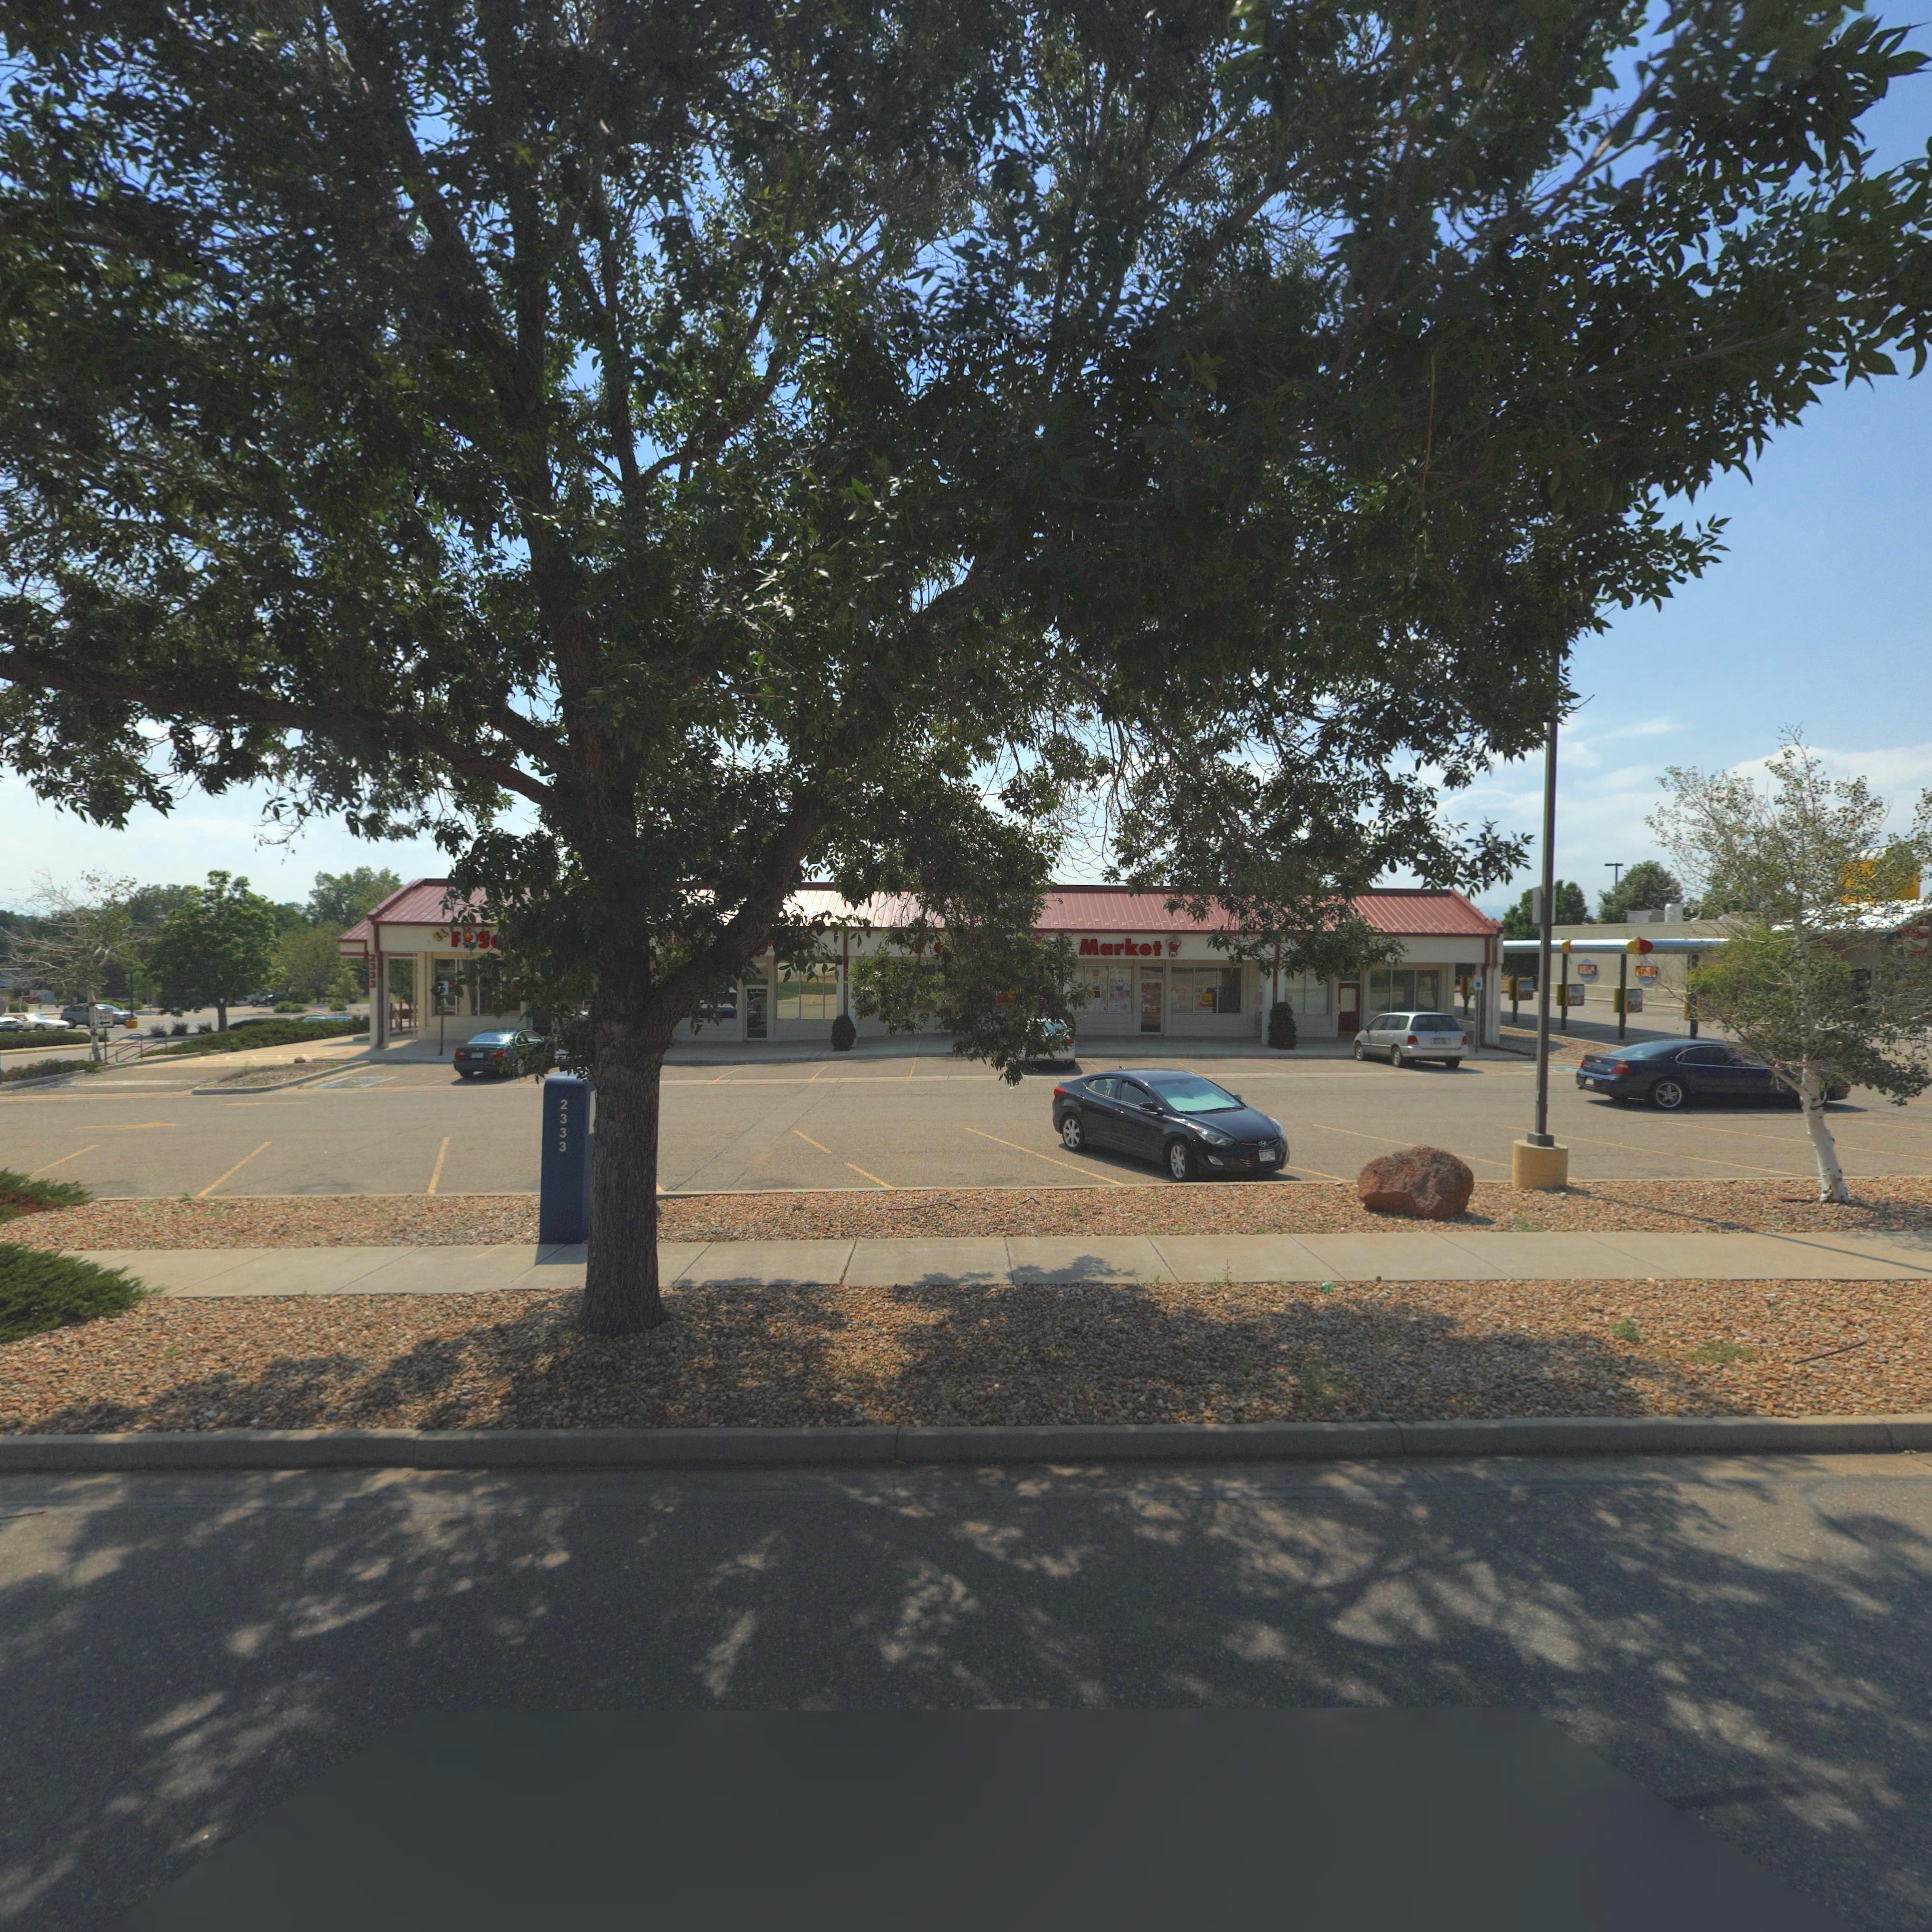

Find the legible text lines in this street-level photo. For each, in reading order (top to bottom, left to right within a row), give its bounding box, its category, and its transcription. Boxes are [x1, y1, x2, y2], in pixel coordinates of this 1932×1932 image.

[431, 927, 449, 943] BusinessName: EL
[450, 929, 489, 949] BusinessName: F*g
[1078, 937, 1162, 956] BusinessName: Market
[369, 953, 376, 988] StreetNumber: 2333
[559, 1099, 568, 1152] StreetNumber: 2333